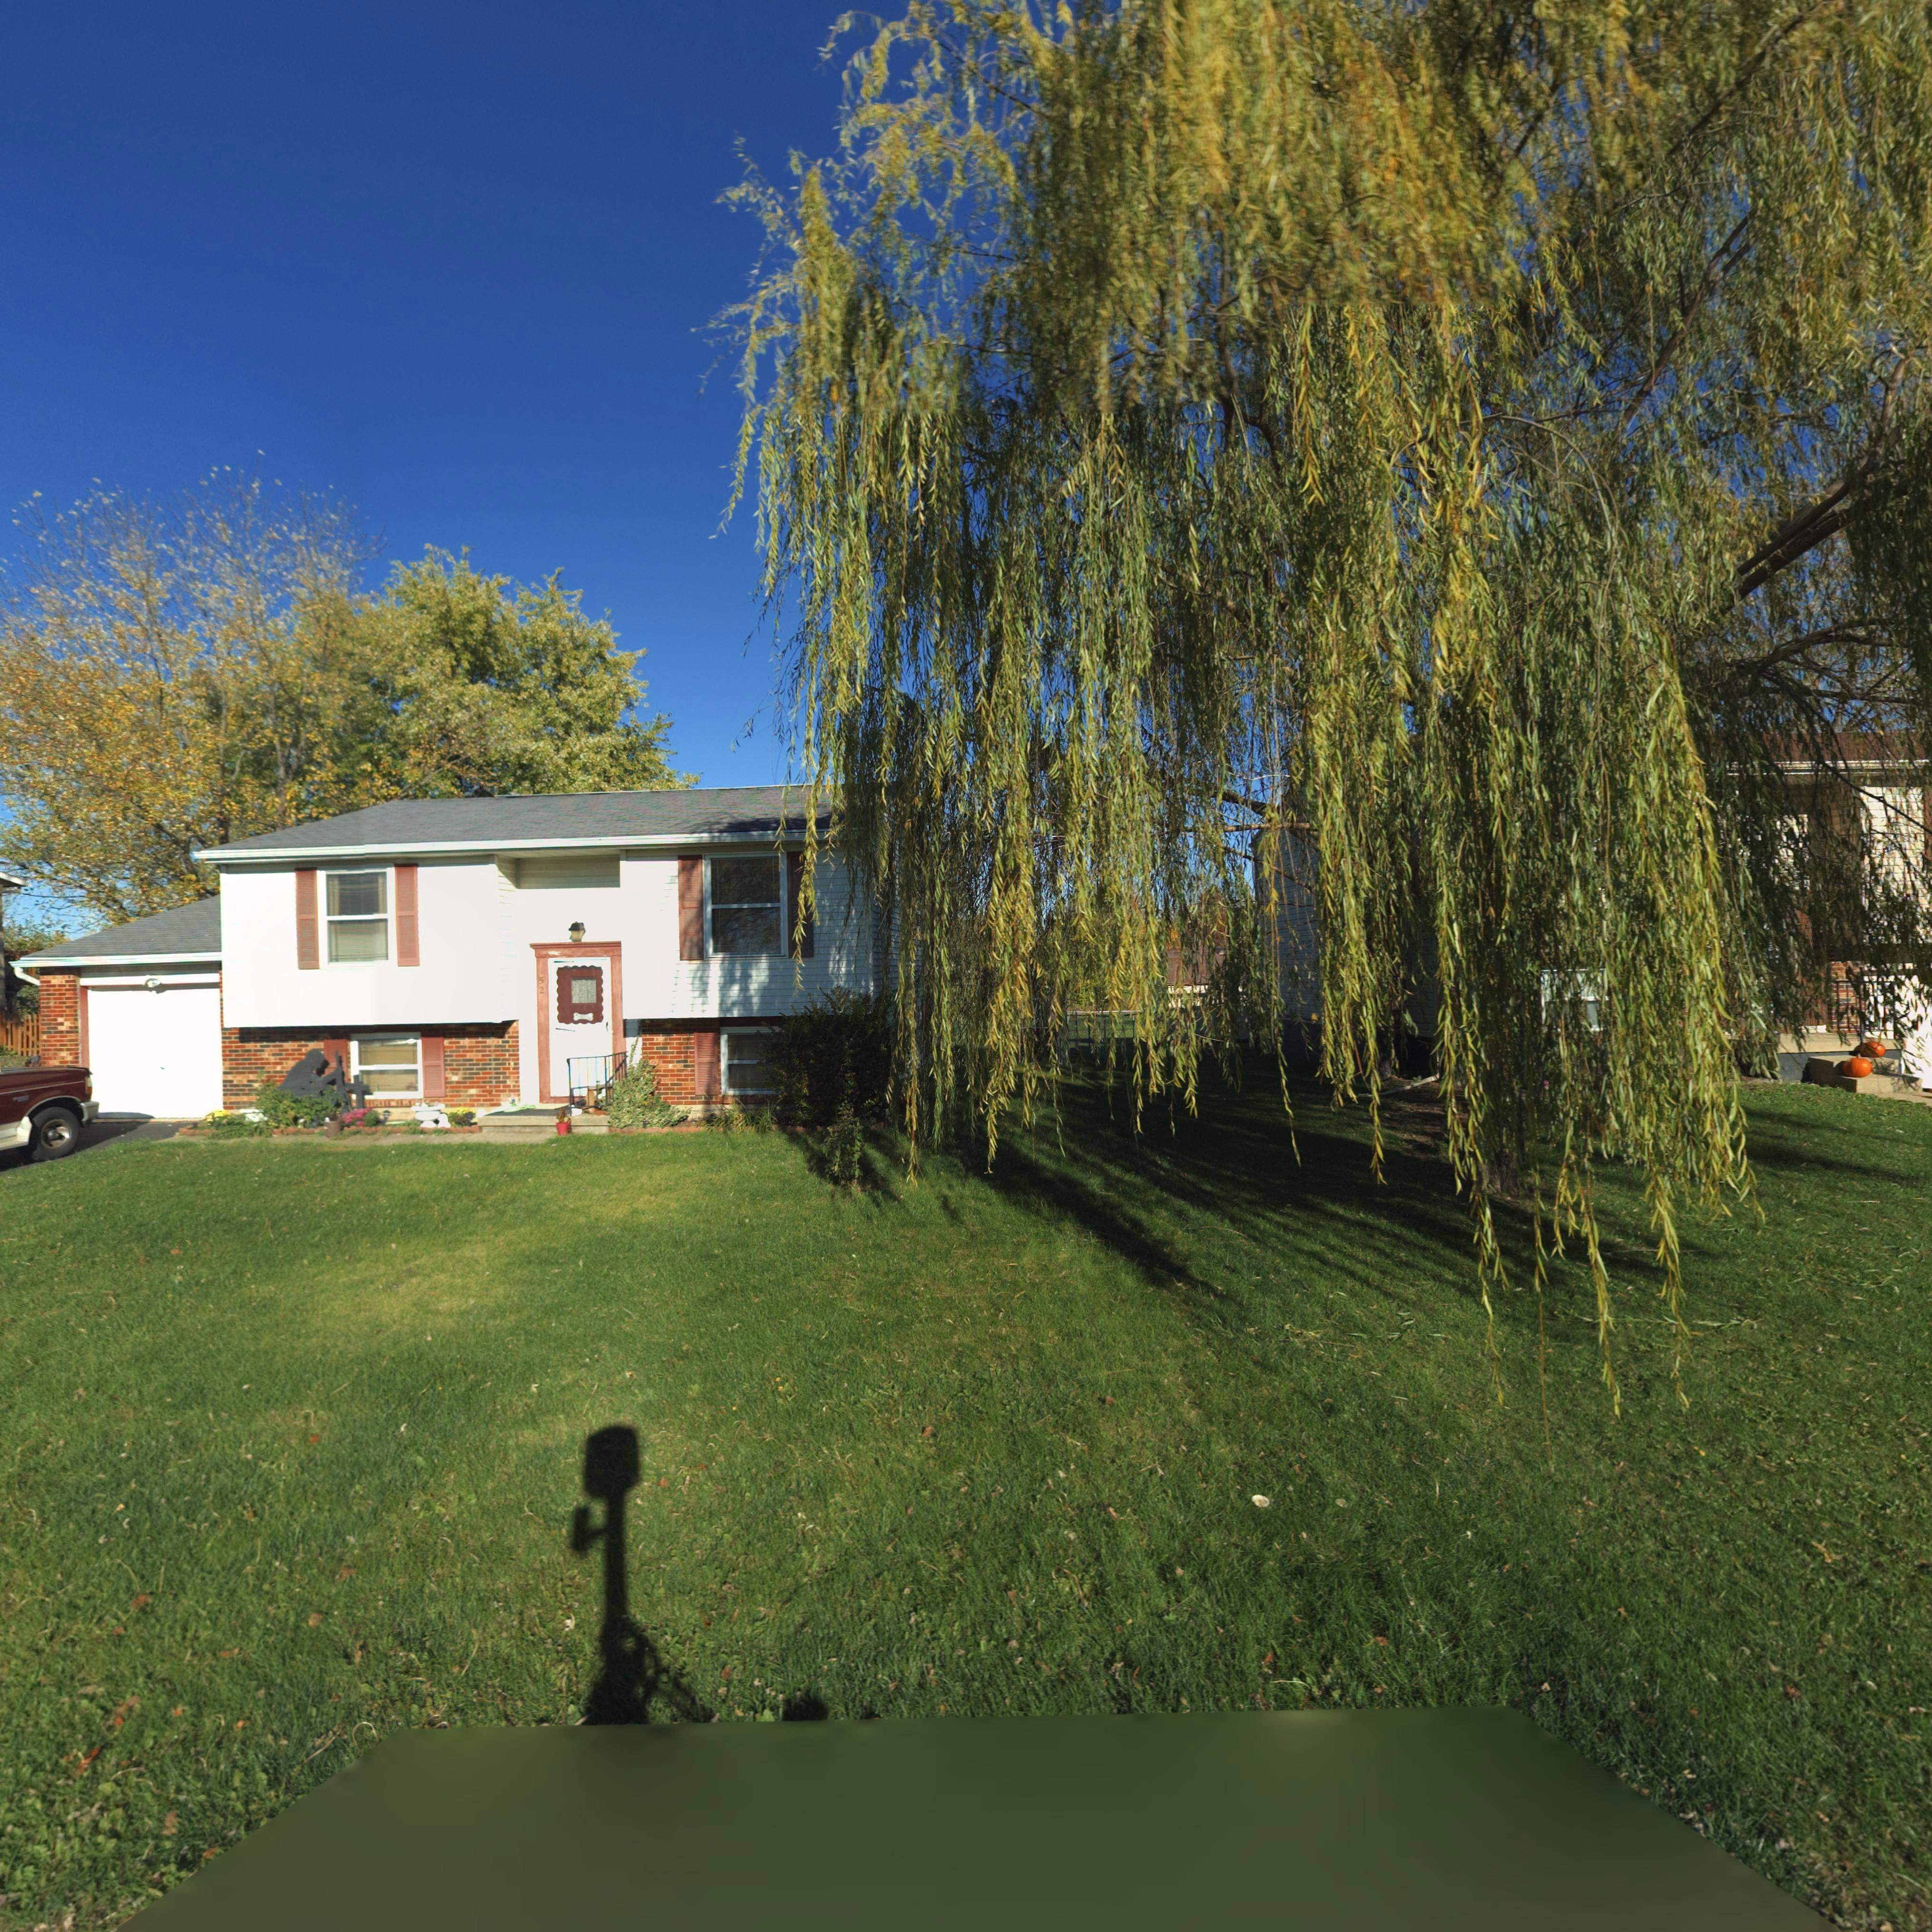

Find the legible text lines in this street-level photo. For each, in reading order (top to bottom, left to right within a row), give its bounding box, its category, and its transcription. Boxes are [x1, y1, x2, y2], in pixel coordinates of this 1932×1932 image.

[538, 966, 545, 995] StreetNumber: 152